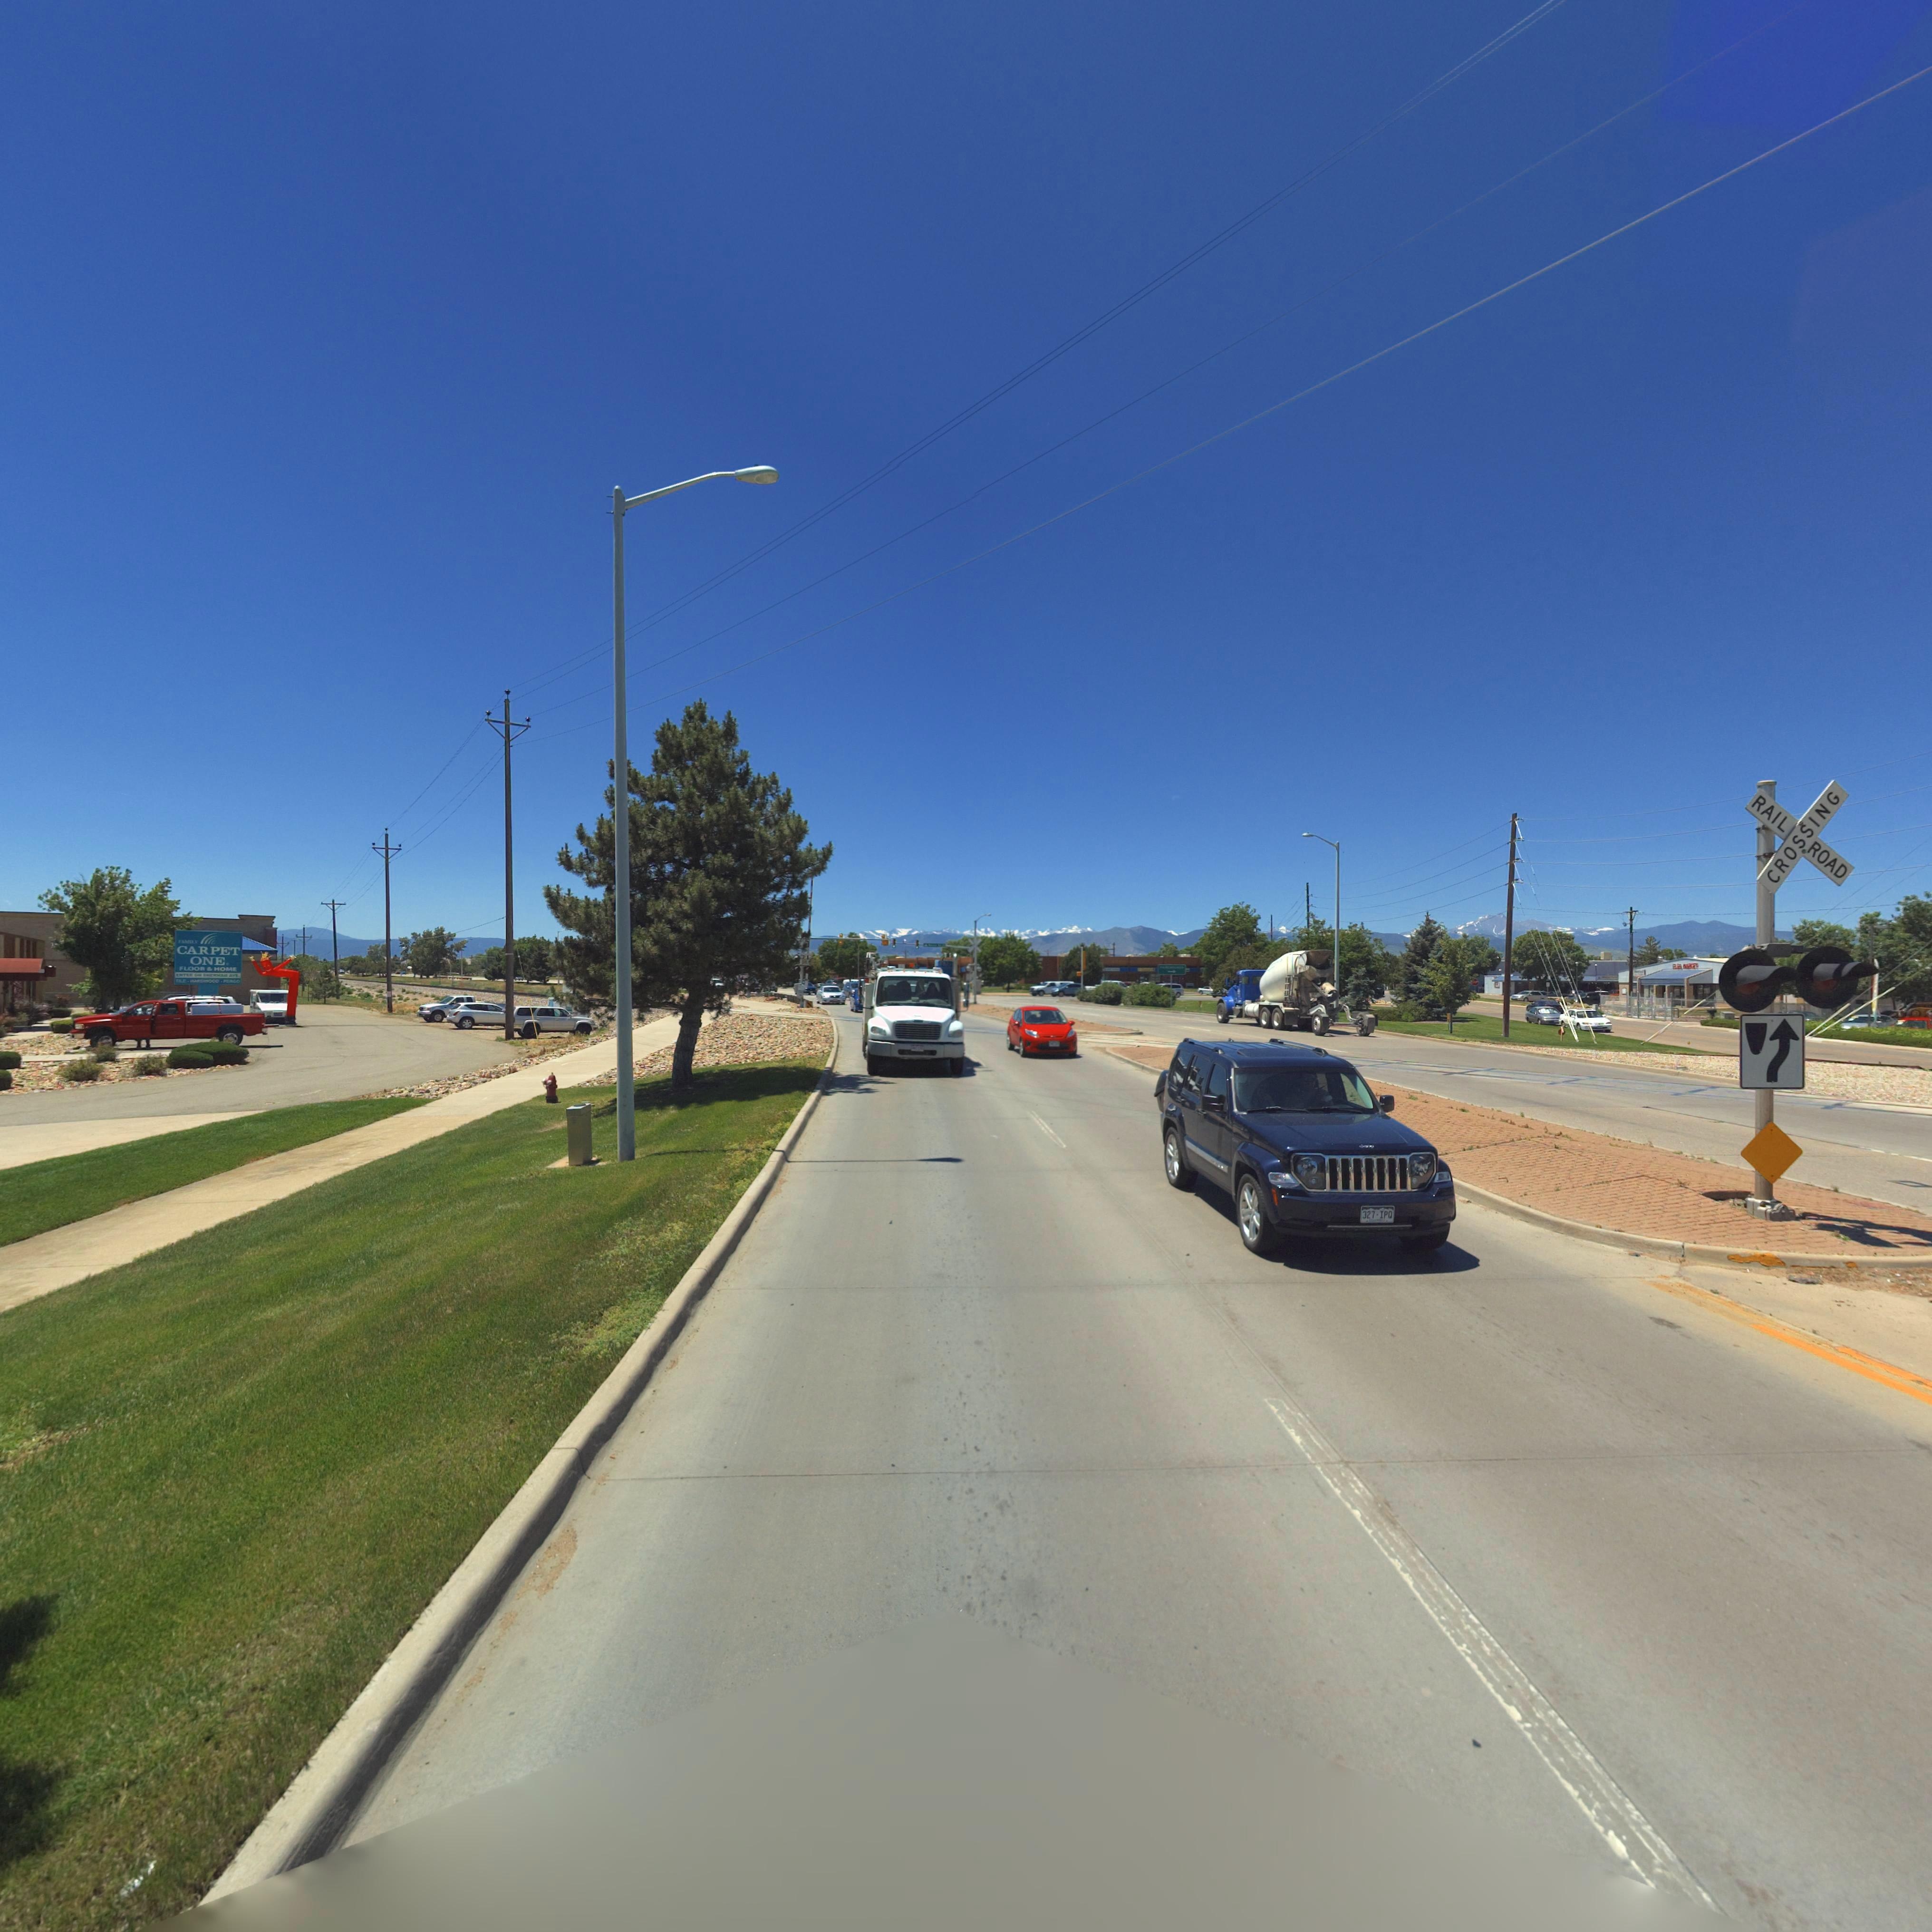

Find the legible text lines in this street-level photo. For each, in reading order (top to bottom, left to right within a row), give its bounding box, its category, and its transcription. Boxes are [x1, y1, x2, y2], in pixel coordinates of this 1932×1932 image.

[176, 946, 241, 956] BusinessName: CARPET
[190, 956, 225, 966] BusinessName: ONE